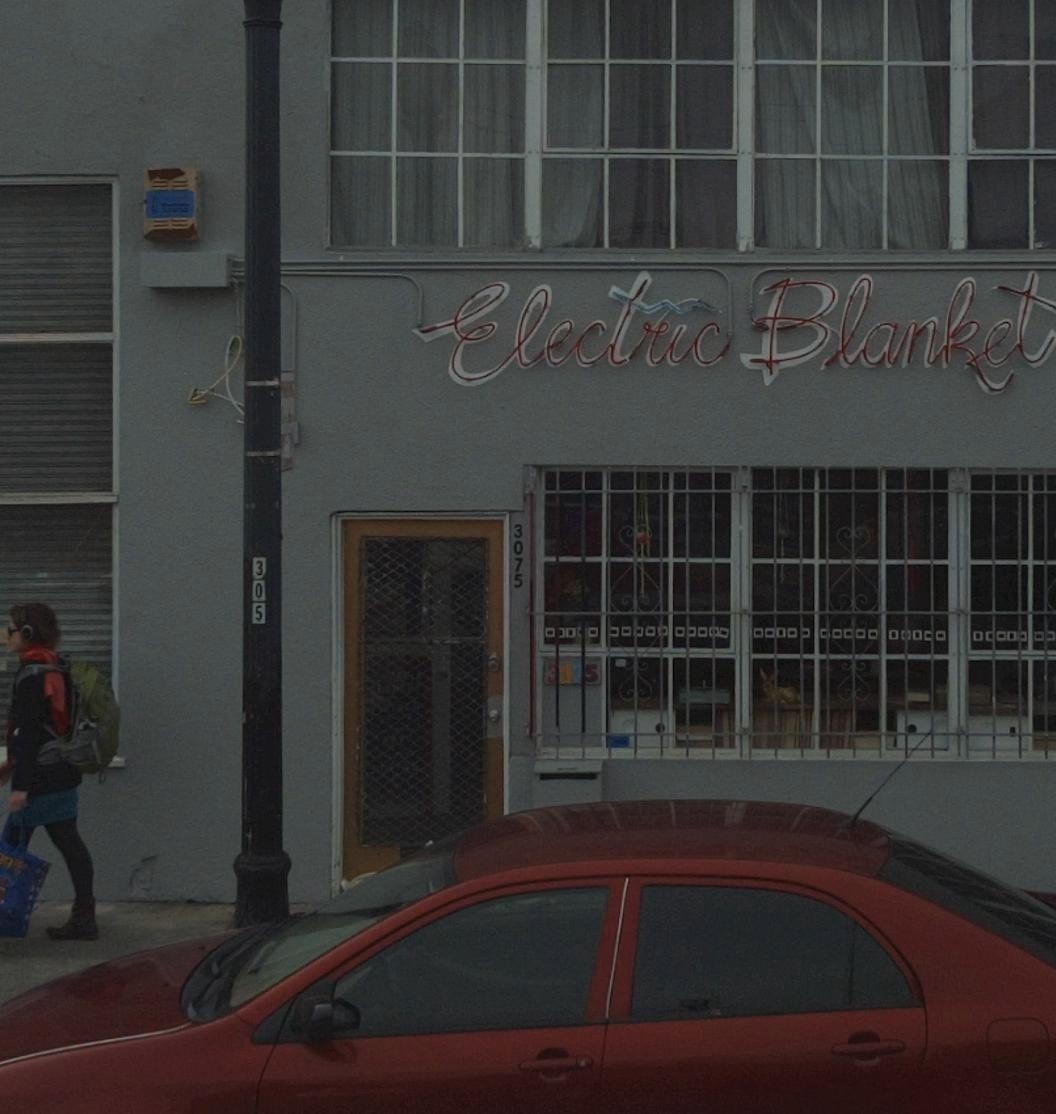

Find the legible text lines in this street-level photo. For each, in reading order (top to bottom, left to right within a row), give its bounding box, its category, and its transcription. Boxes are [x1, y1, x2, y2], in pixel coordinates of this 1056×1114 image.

[415, 268, 1055, 396] BusinessName: Electric Blanket
[252, 557, 265, 623] None: 305
[512, 522, 525, 590] StreetNumber: 3075